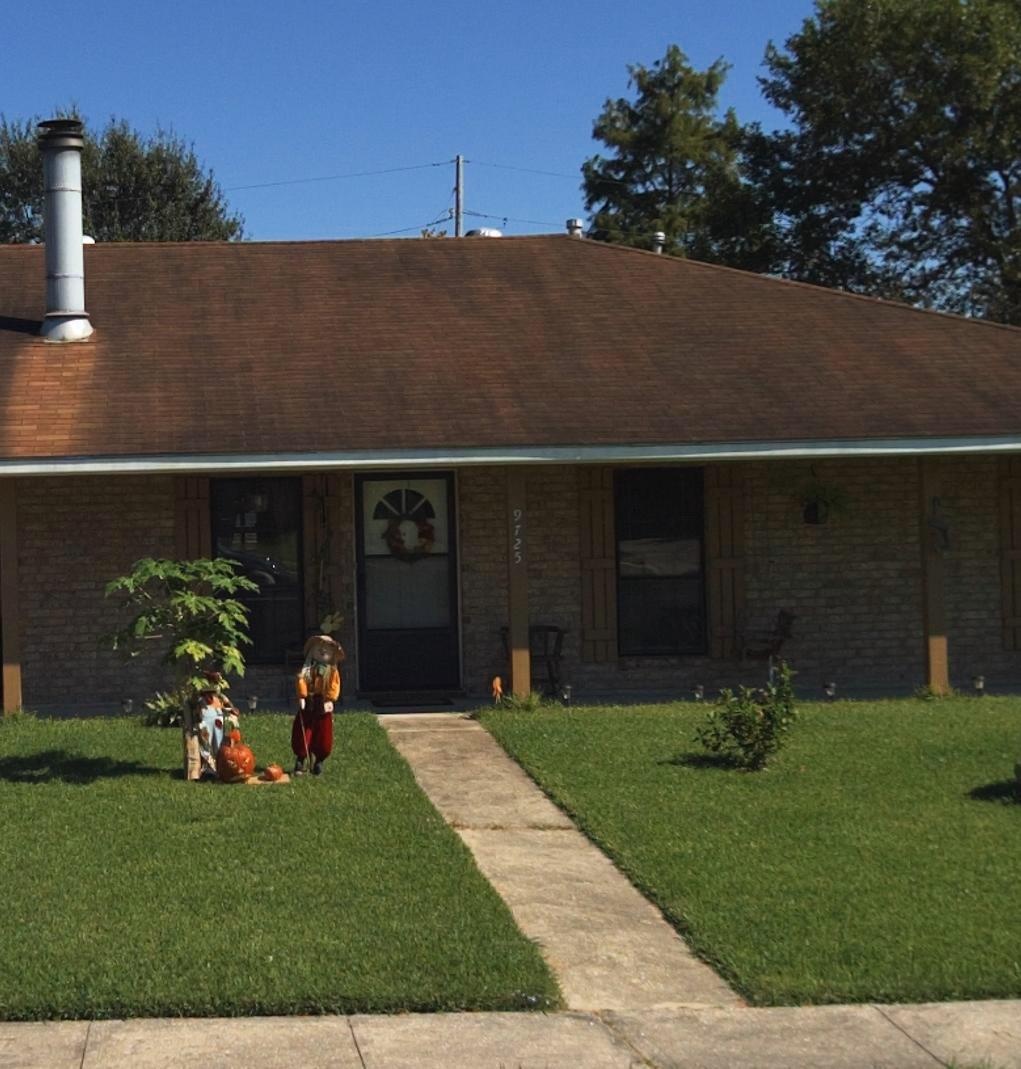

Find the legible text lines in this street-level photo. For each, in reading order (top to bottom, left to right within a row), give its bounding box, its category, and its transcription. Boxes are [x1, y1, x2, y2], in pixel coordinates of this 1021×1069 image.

[512, 508, 523, 565] StreetNumber: 9725